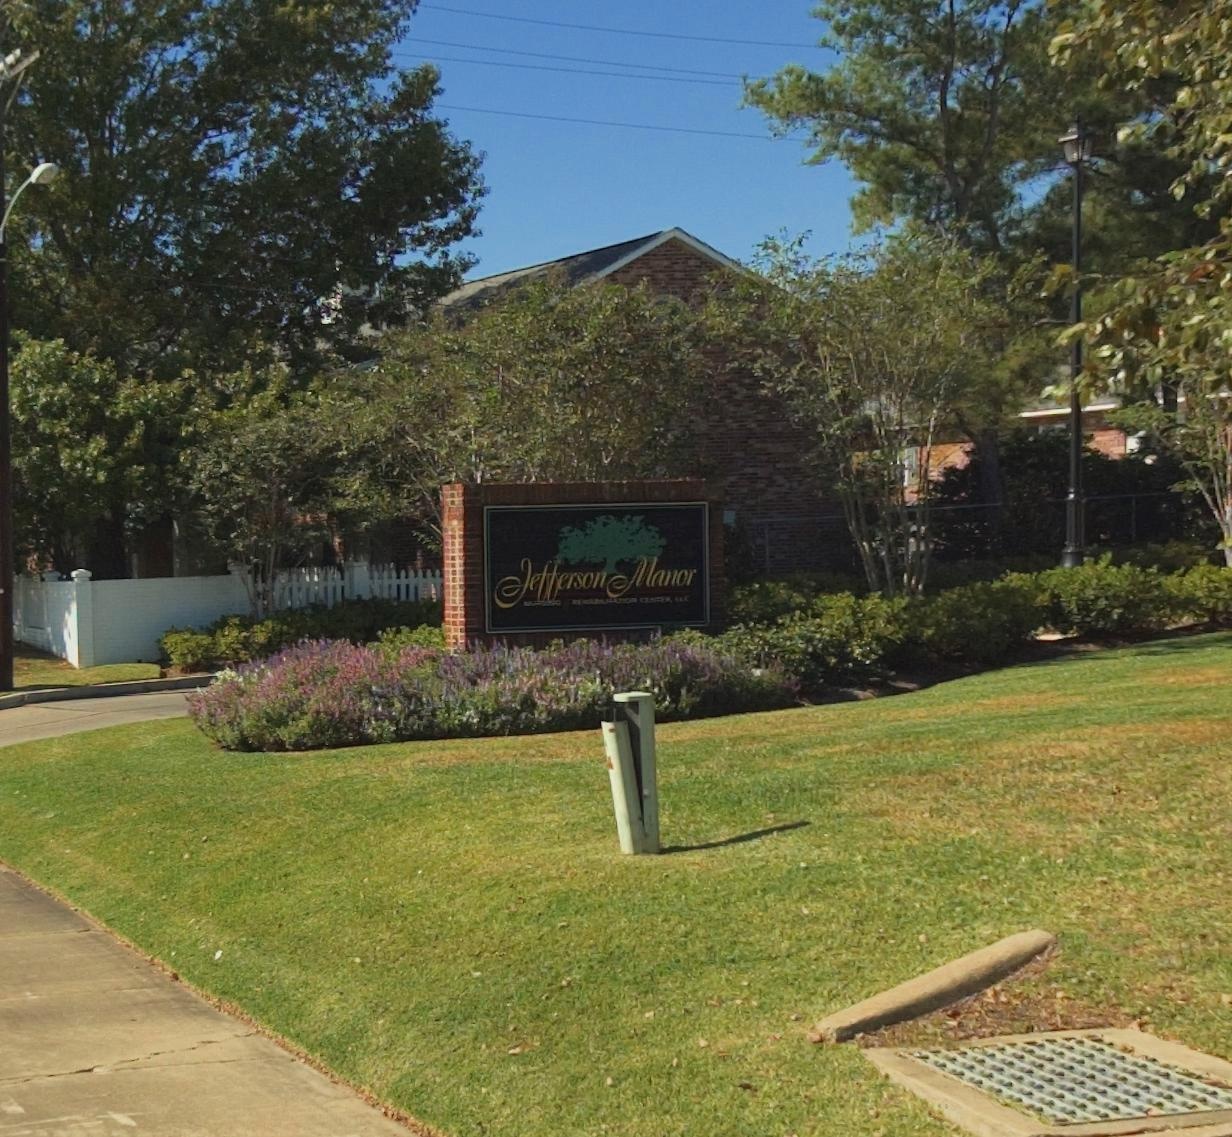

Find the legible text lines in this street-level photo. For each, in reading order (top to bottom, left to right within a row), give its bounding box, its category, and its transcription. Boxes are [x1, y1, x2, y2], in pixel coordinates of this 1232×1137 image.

[508, 553, 702, 609] BusinessName: Jefferson Manor